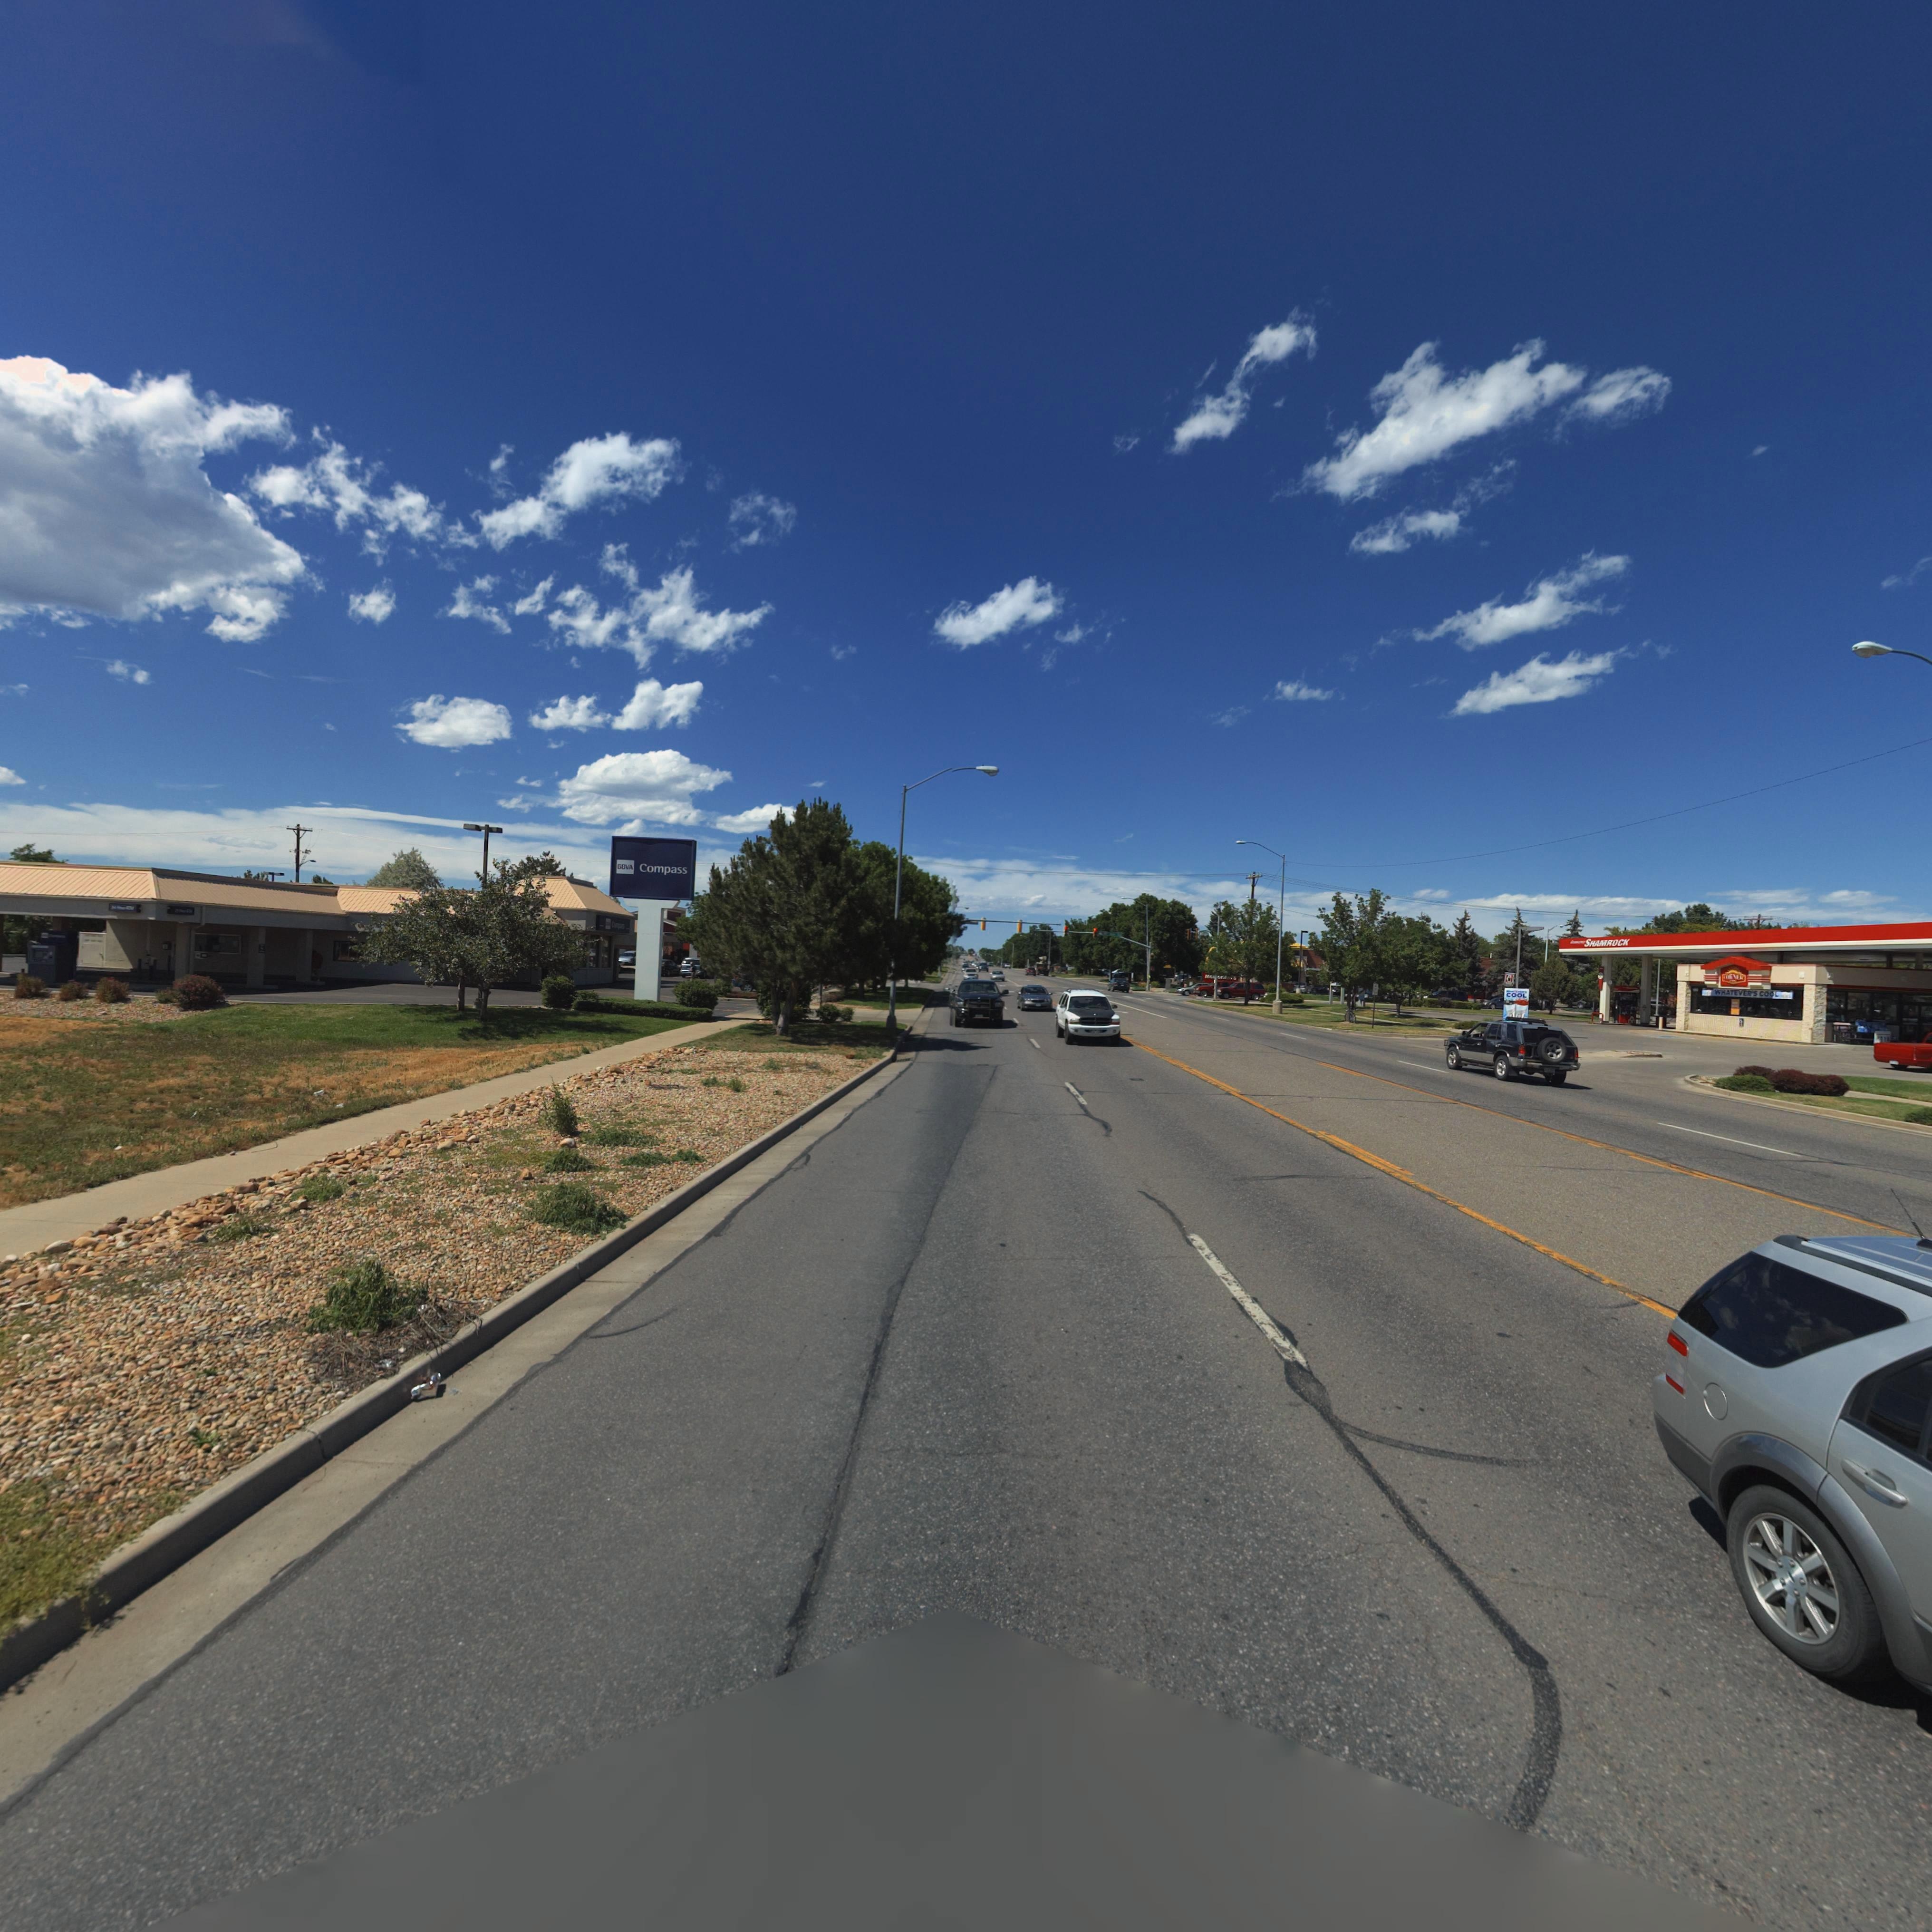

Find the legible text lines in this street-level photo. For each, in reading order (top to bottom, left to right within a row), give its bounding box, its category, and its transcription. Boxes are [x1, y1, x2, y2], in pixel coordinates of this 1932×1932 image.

[639, 862, 687, 875] BusinessName: Compass
[611, 921, 625, 930] BusinessName: C******
[1584, 938, 1631, 947] BusinessName: SHAMROCK
[1204, 974, 1236, 980] BusinessName: Mc*o*****s
[1723, 974, 1744, 980] BusinessName: *O**ER